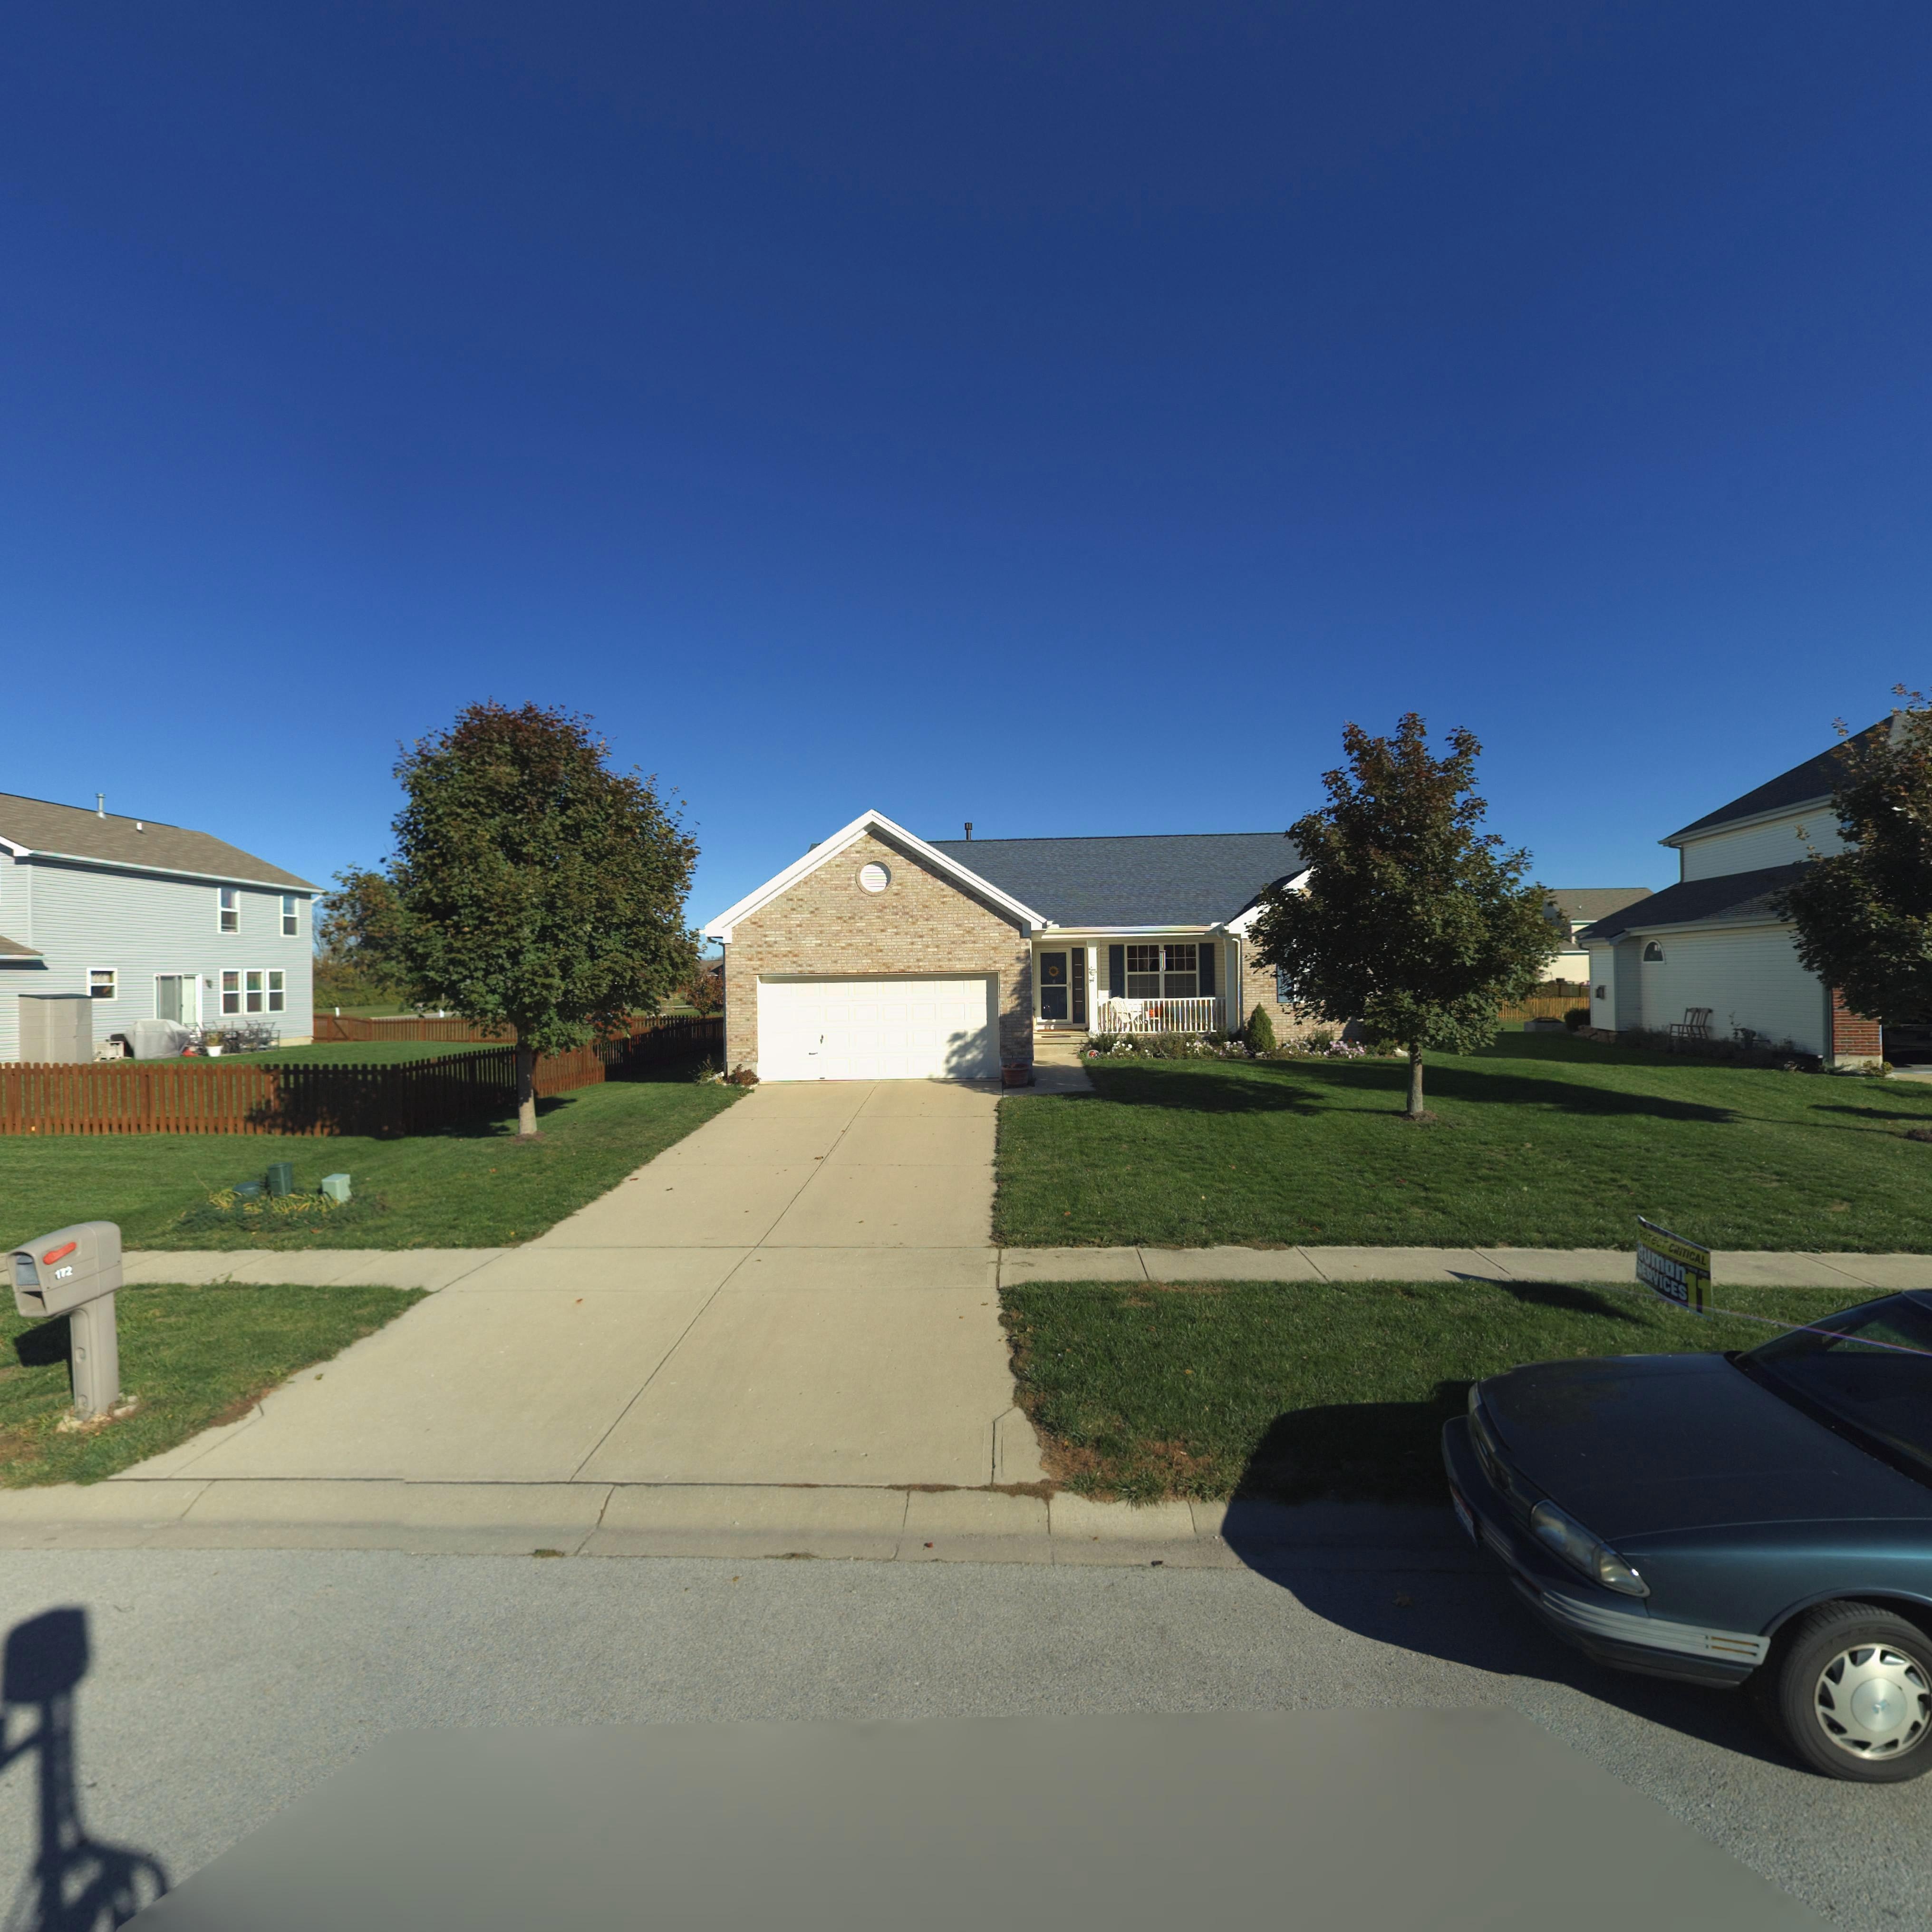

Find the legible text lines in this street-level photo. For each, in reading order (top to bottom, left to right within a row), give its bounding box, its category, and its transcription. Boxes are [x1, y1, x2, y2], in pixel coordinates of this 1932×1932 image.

[54, 1265, 73, 1280] StreetNumber: 172